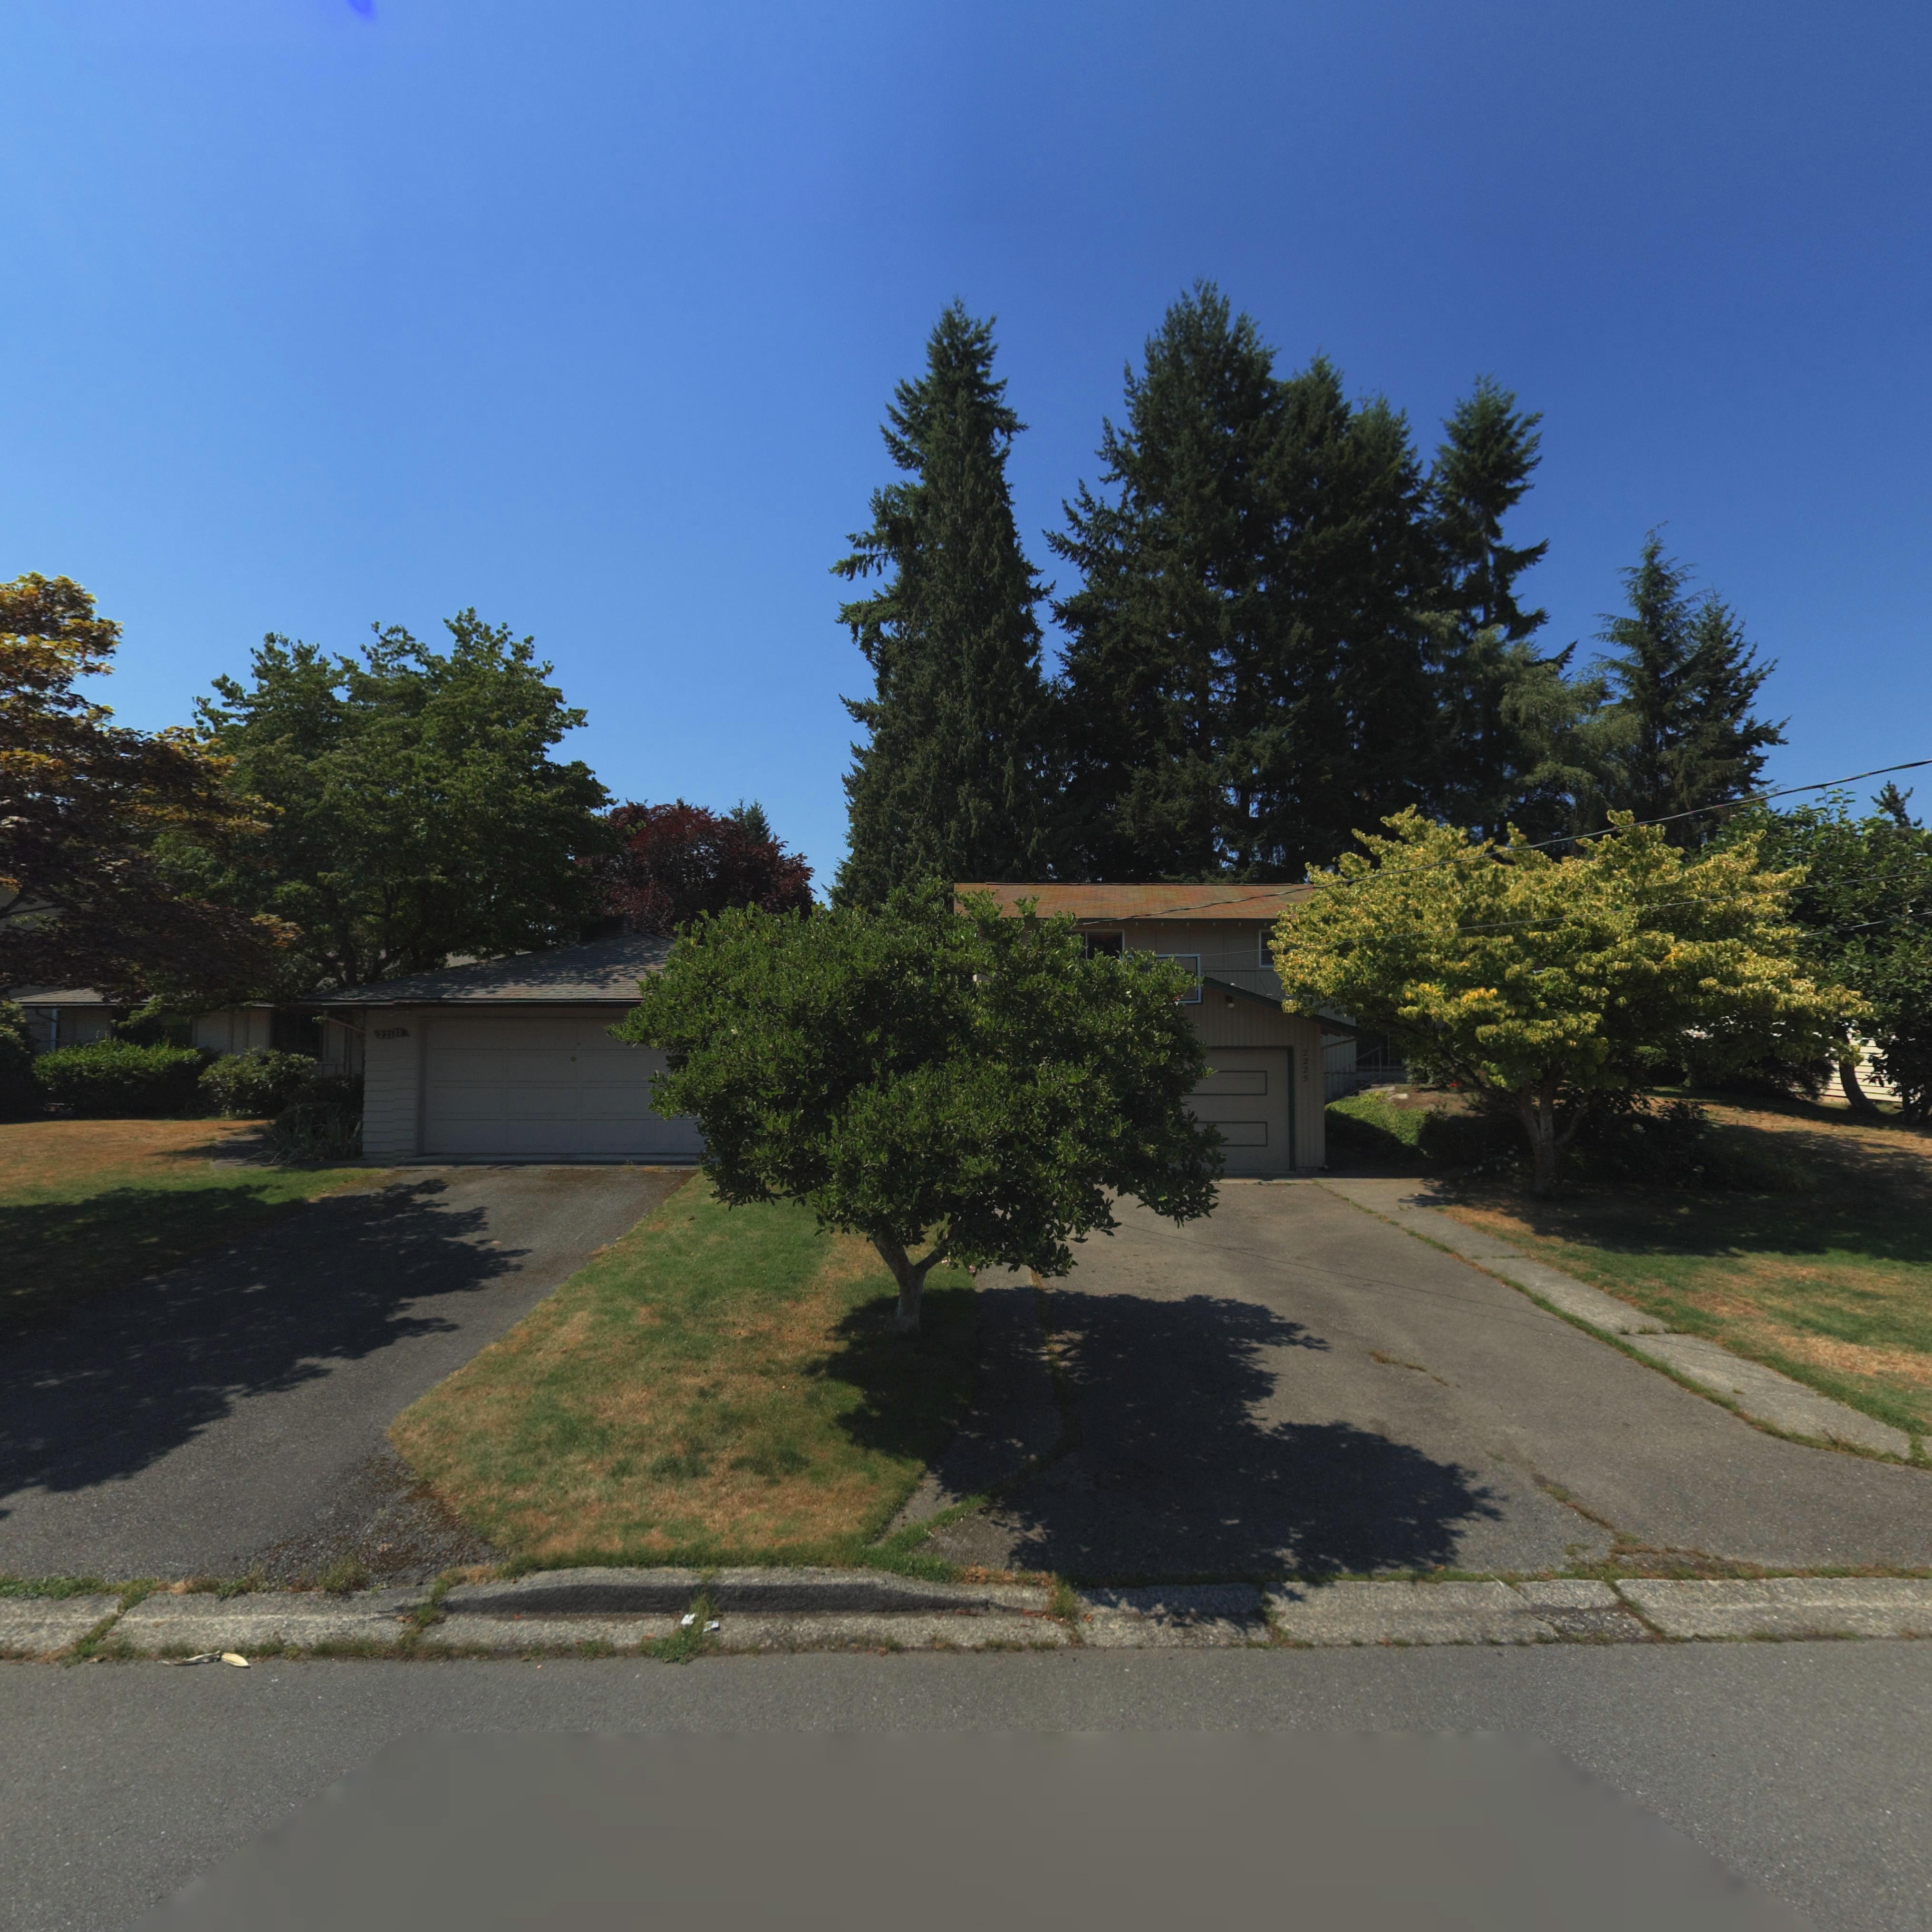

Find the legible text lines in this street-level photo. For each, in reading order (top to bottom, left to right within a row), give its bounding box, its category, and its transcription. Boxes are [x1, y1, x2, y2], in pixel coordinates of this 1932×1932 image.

[1303, 1050, 1308, 1082] StreetNumber: 2225